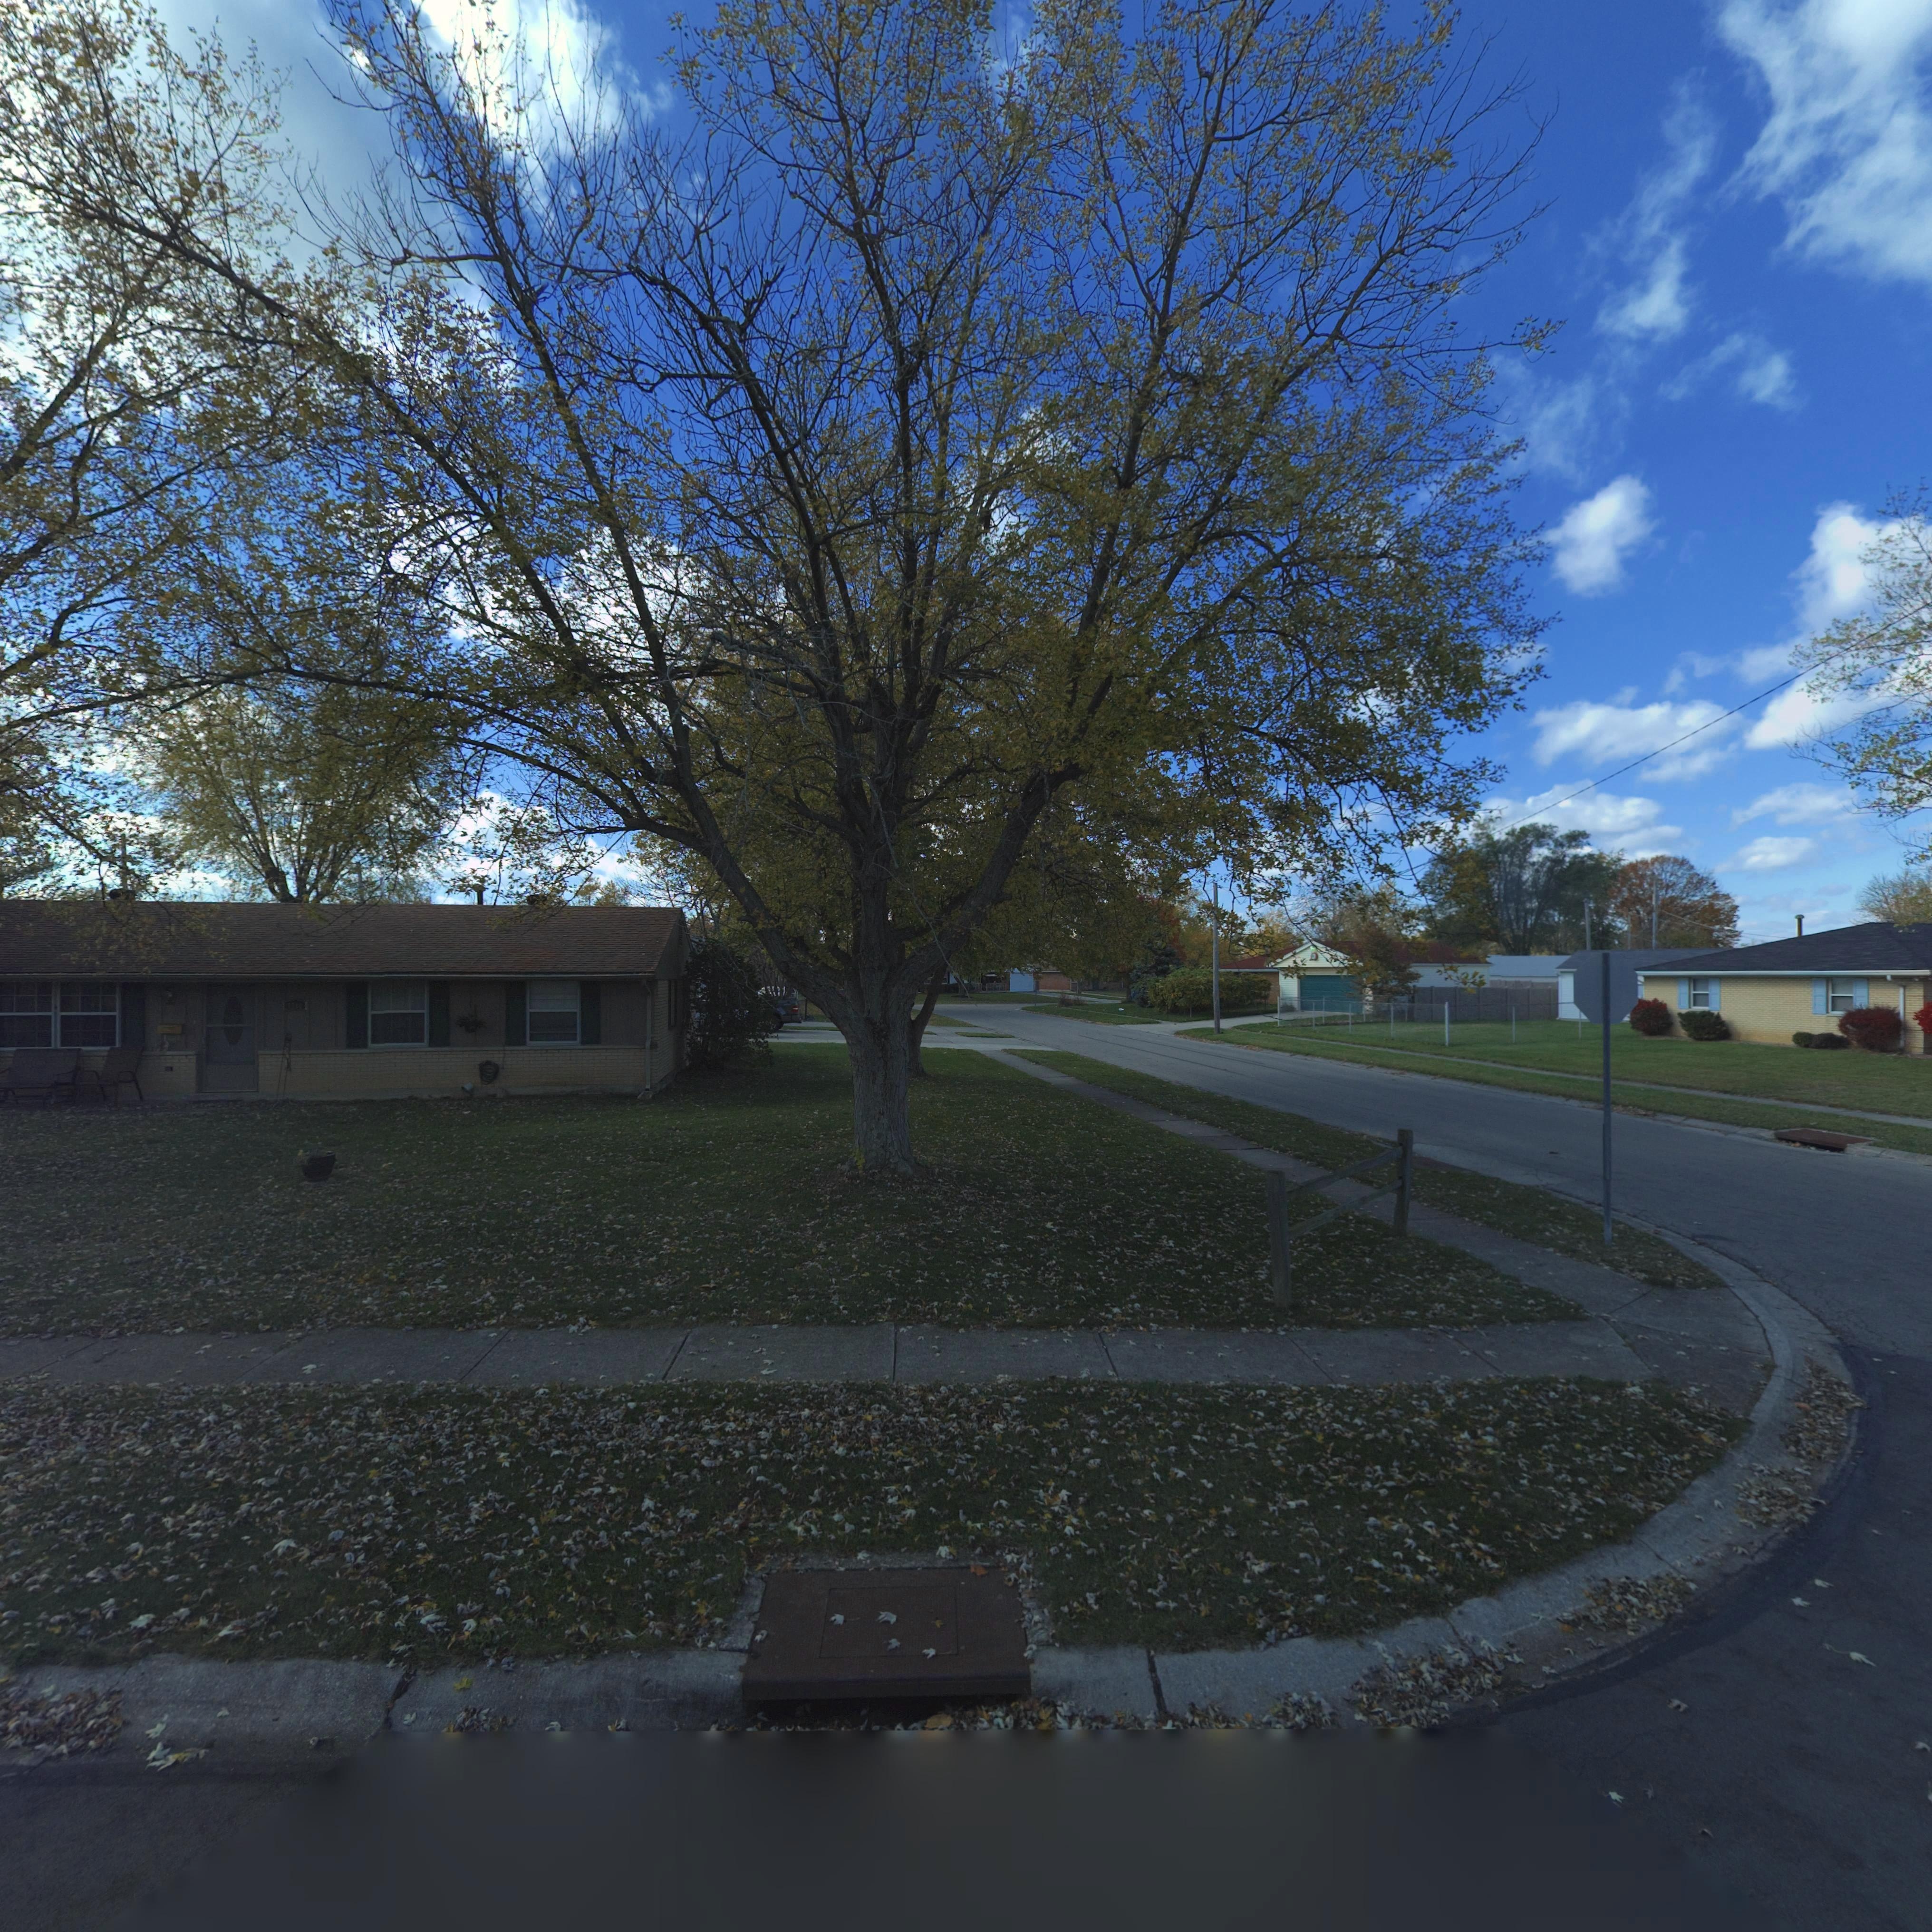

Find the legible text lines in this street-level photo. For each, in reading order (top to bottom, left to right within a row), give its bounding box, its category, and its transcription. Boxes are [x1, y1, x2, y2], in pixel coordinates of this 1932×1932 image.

[286, 1002, 303, 1009] StreetNumber: 778*